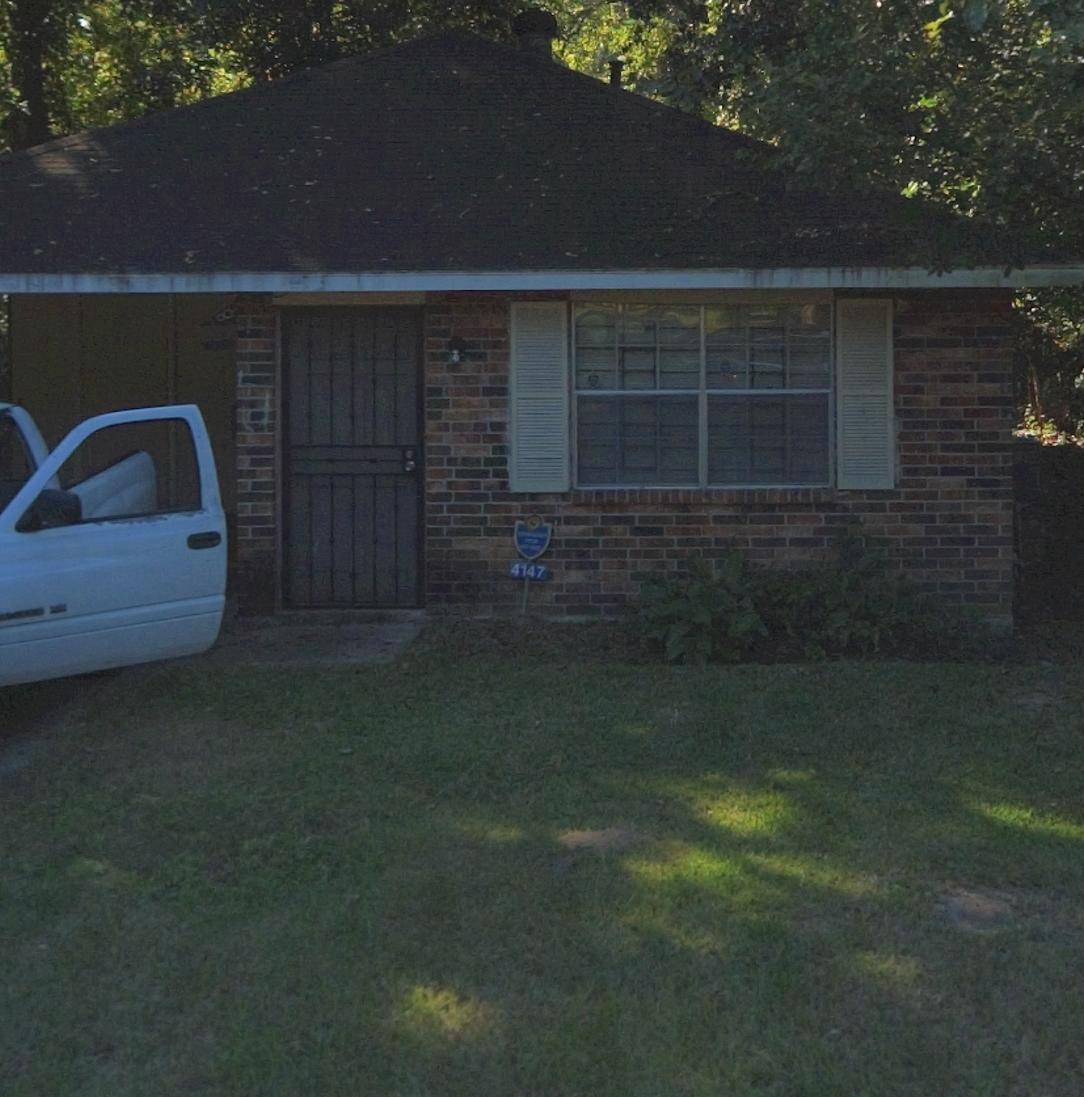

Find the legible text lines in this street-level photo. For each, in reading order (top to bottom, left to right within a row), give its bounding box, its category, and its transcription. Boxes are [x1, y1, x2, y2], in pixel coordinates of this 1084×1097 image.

[507, 562, 546, 578] StreetNumber: 4147